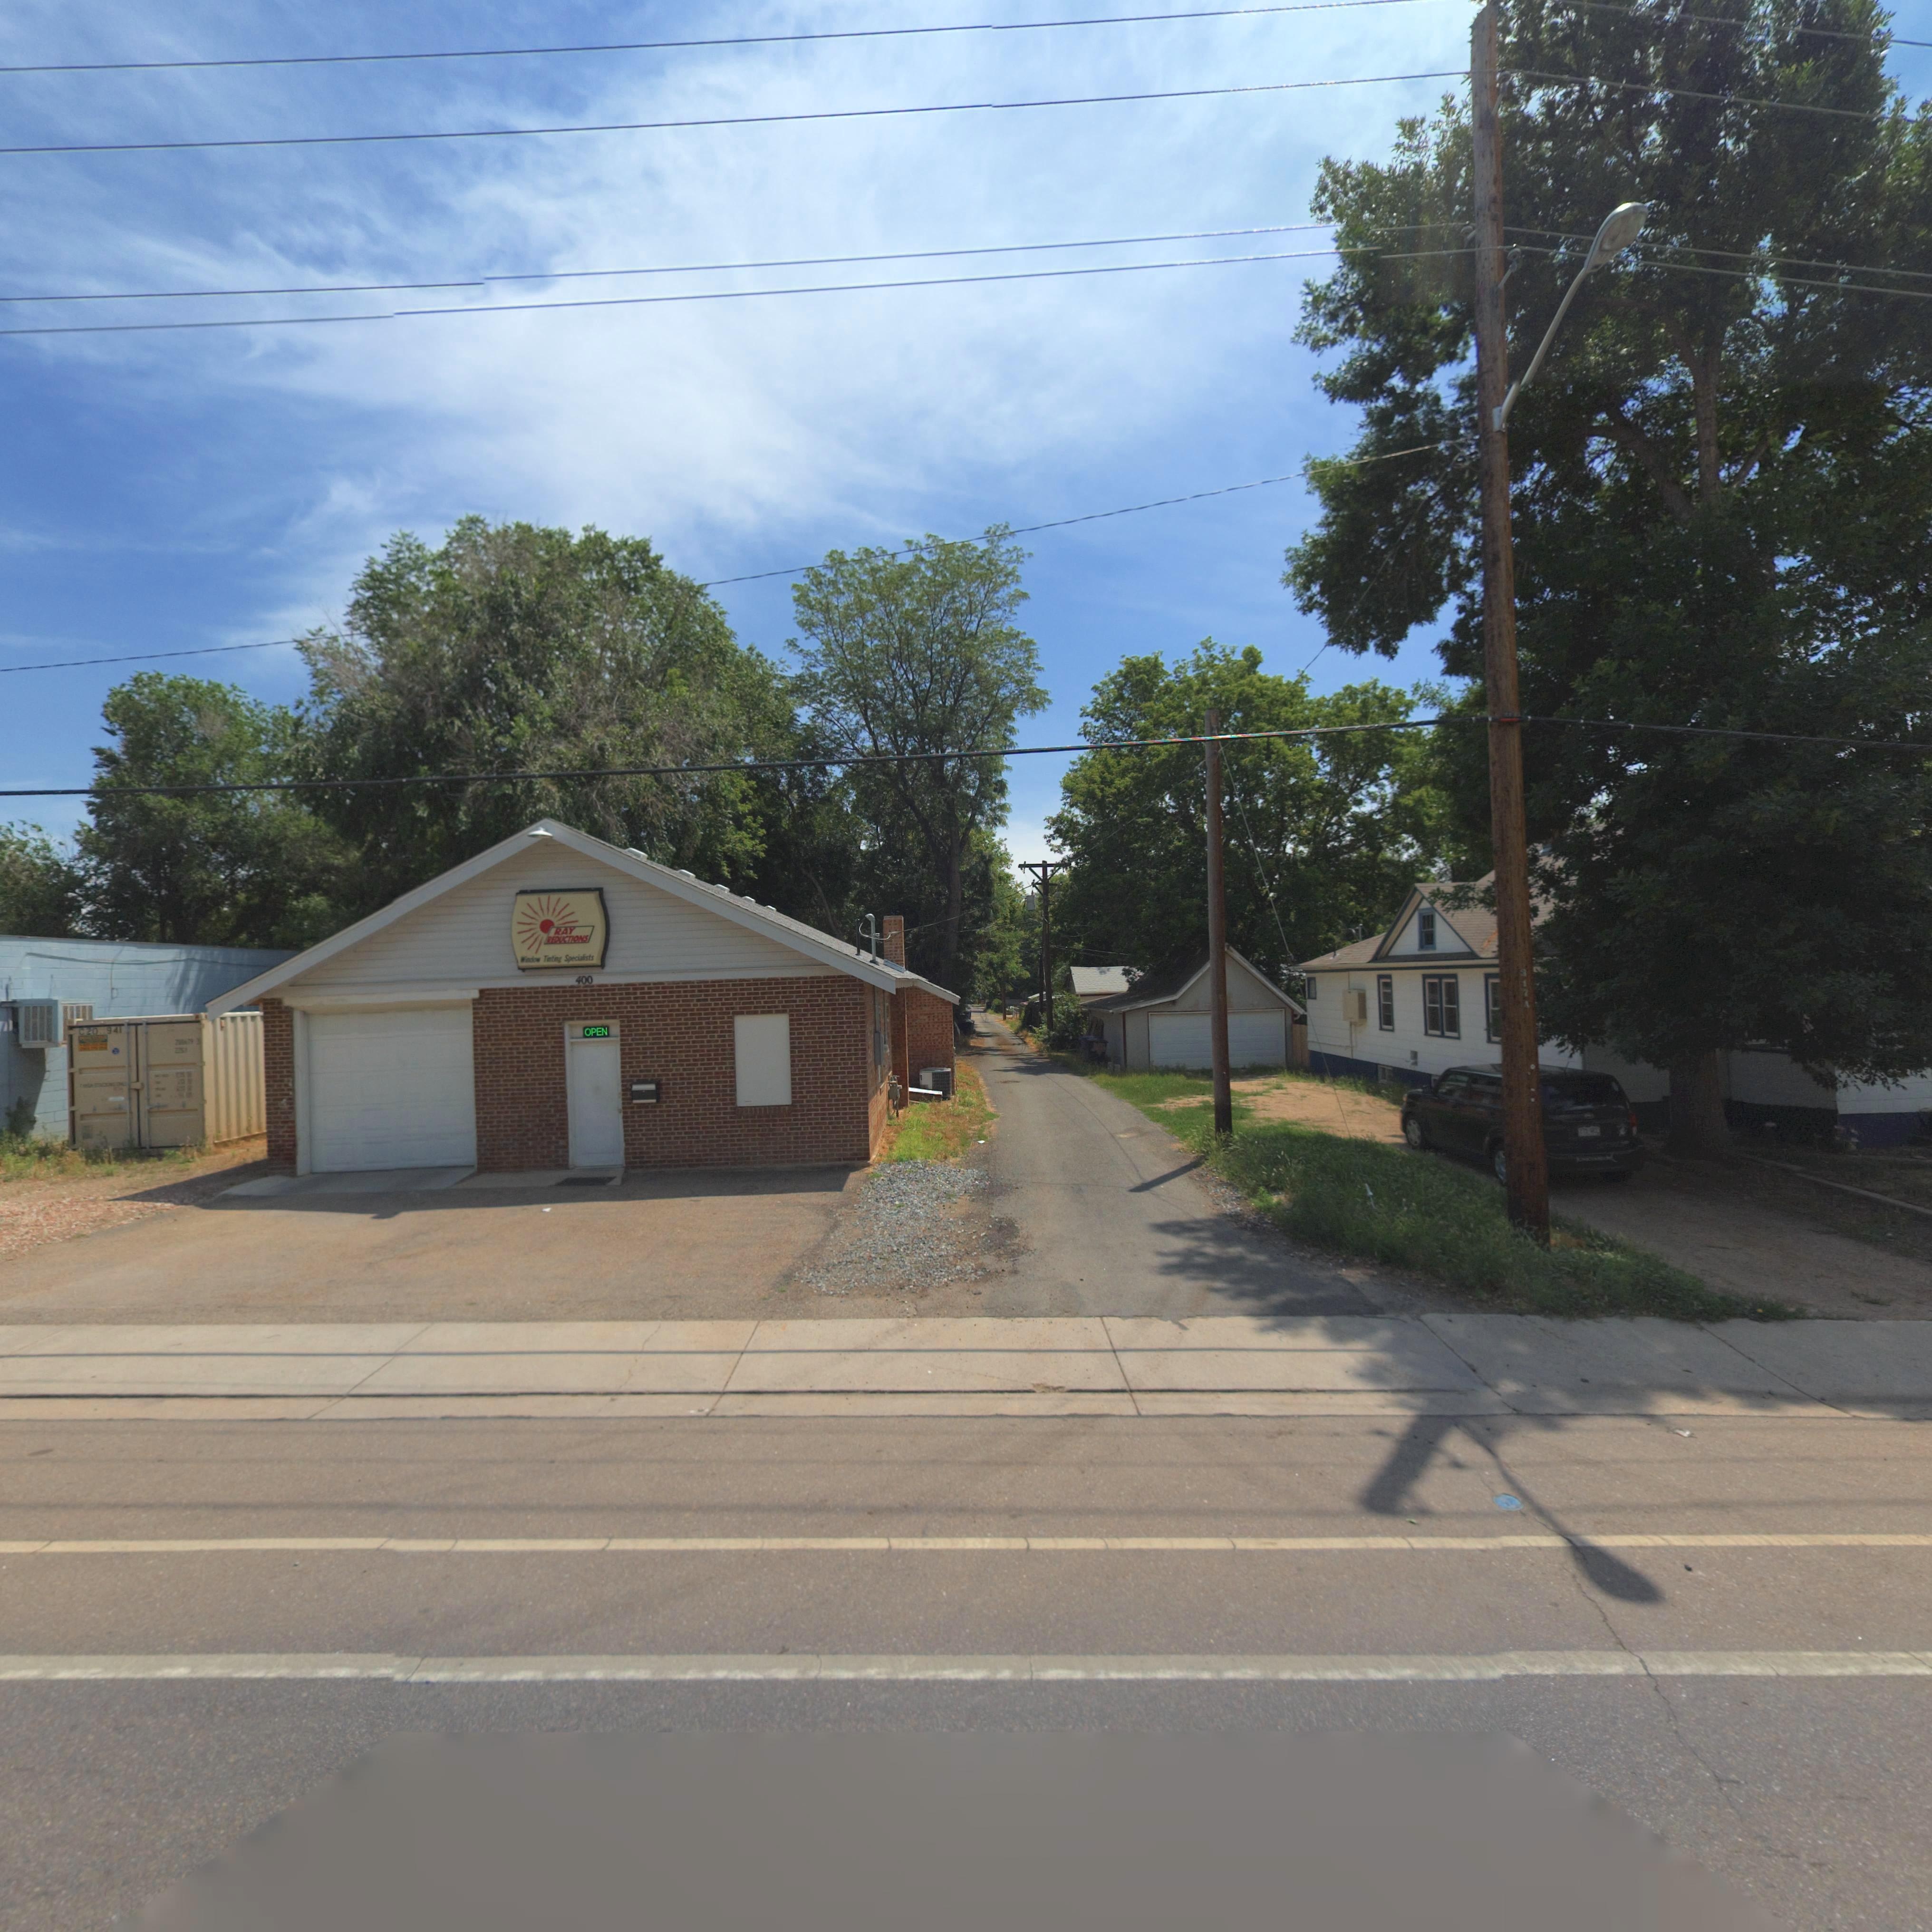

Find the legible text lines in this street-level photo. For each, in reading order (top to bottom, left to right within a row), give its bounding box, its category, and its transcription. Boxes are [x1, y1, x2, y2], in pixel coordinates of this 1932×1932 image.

[553, 927, 576, 936] BusinessName: RAY
[545, 935, 589, 943] BusinessName: REDUCTIONS
[575, 975, 593, 985] StreetNumber: 400